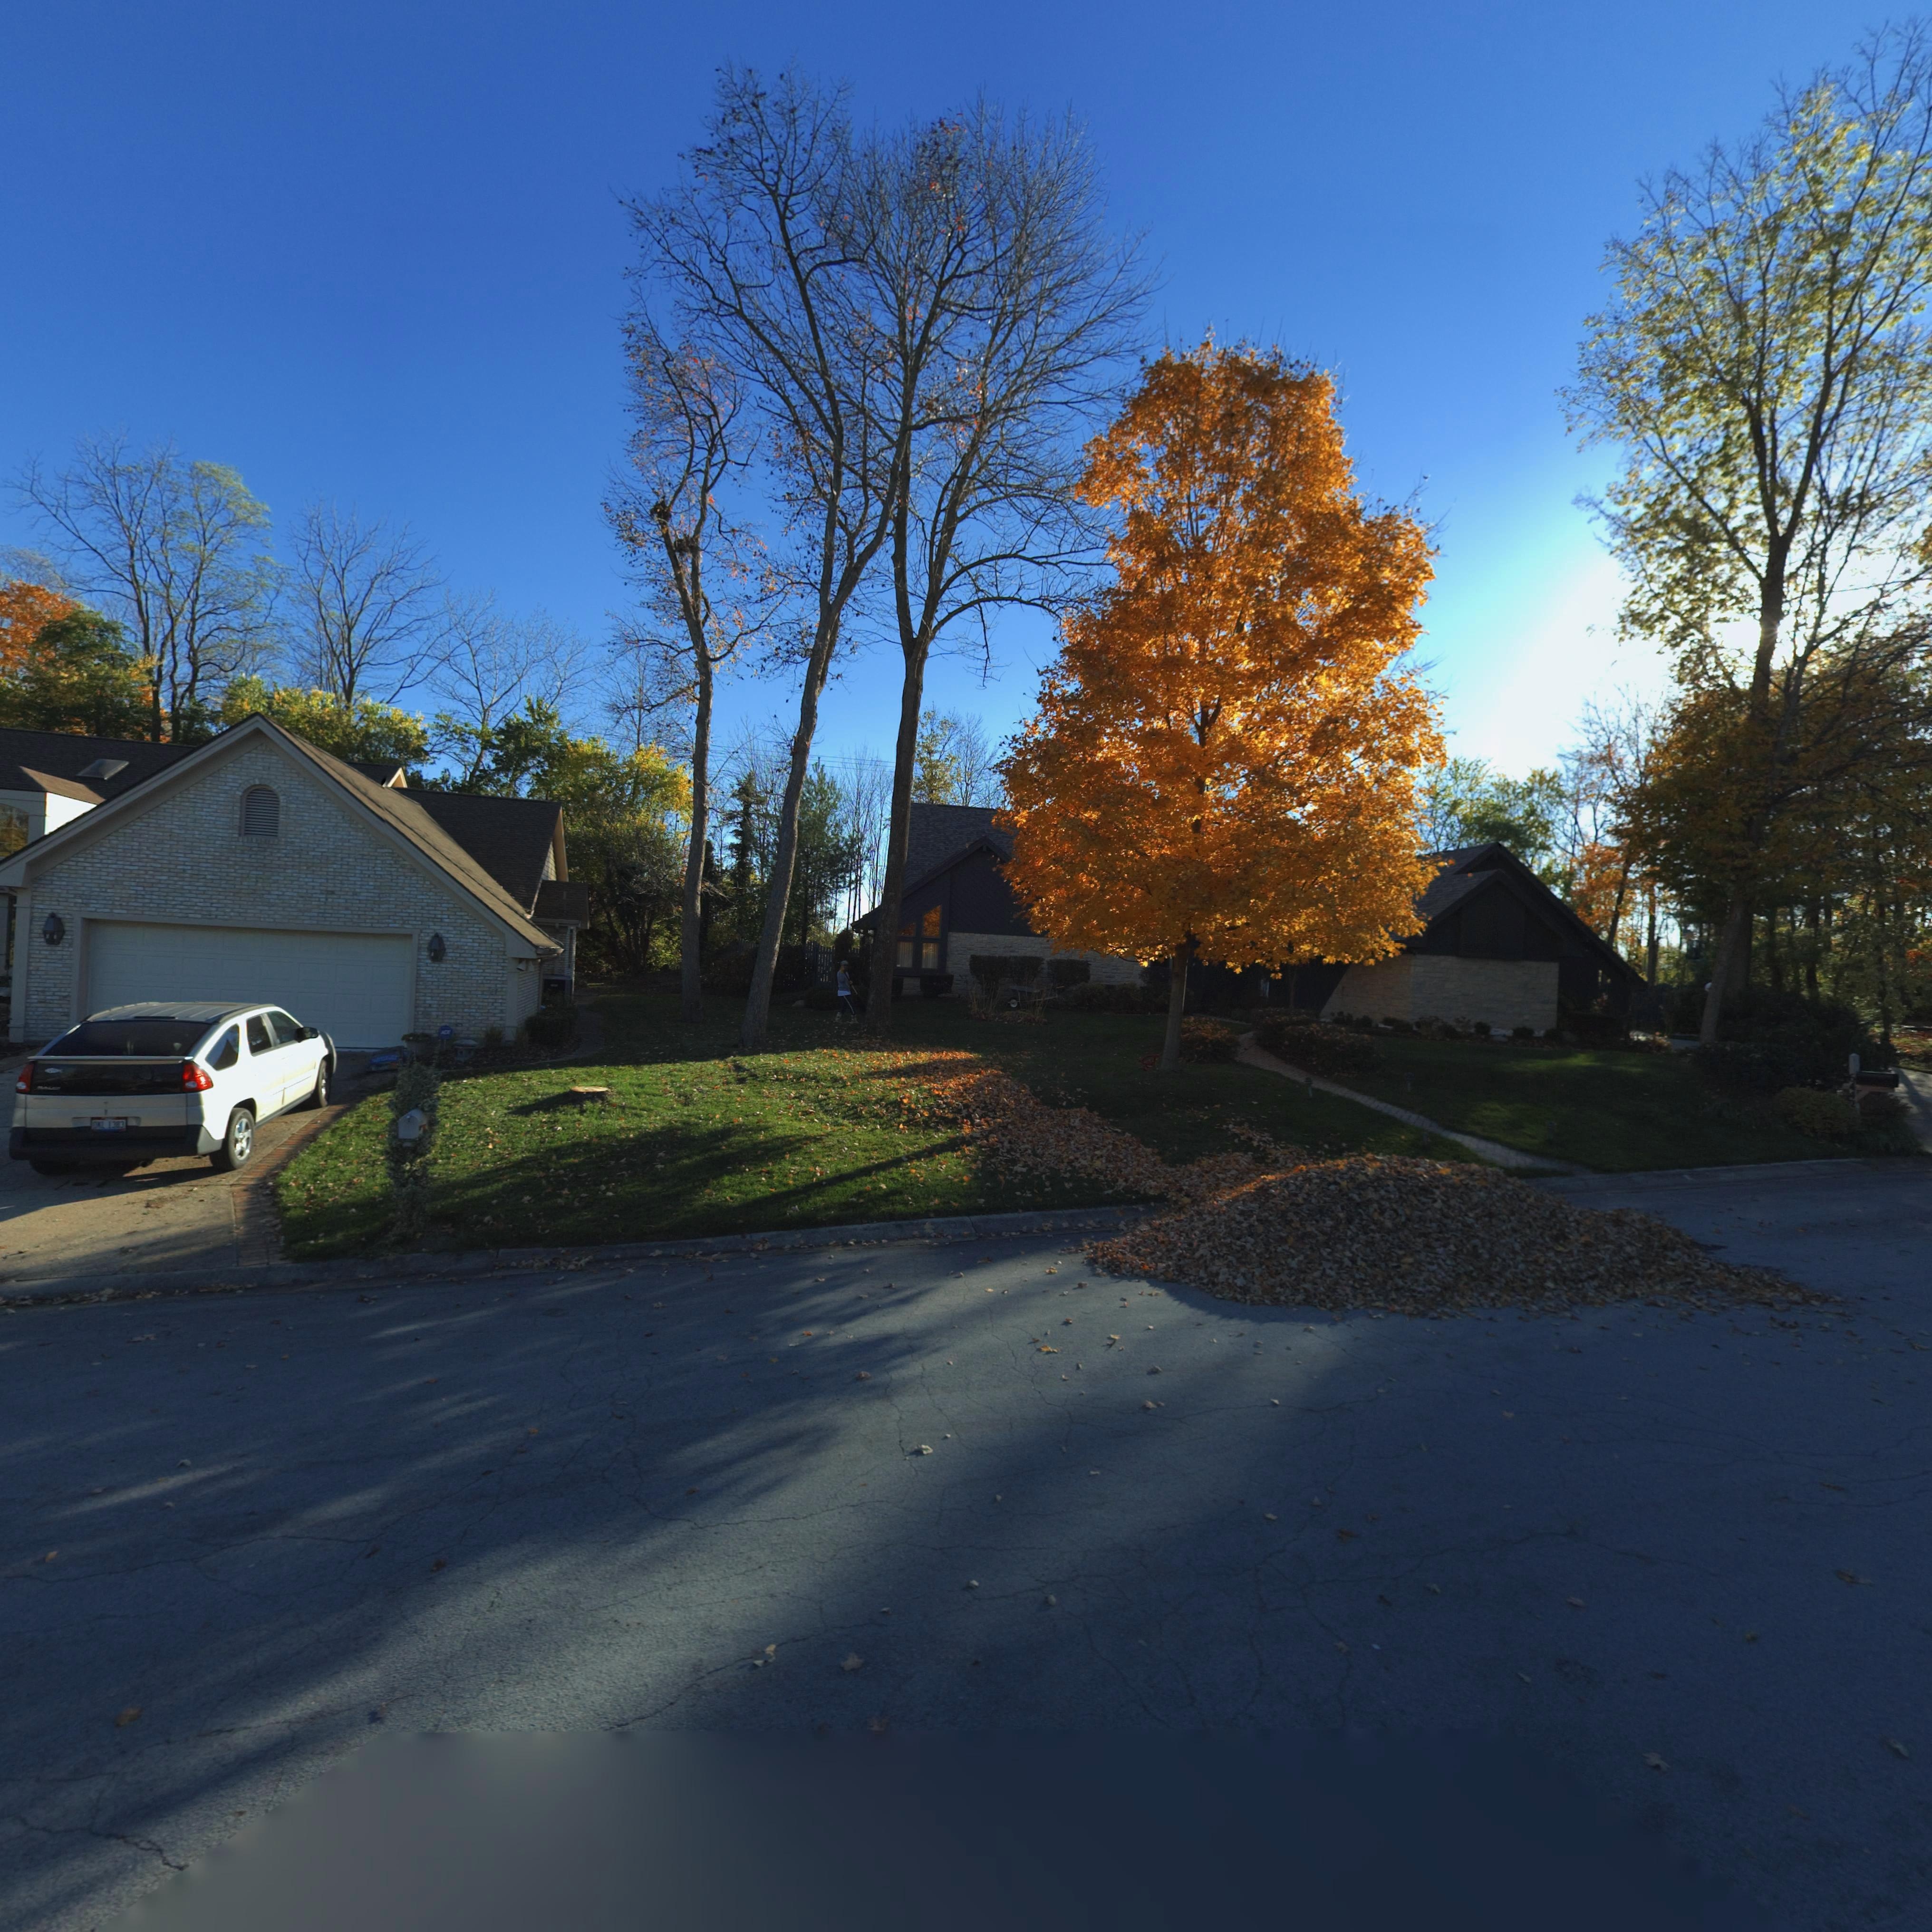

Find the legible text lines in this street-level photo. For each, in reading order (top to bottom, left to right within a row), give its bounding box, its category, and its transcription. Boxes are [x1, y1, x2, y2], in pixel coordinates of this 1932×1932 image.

[1847, 1072, 1857, 1109] StreetNumber: 6442